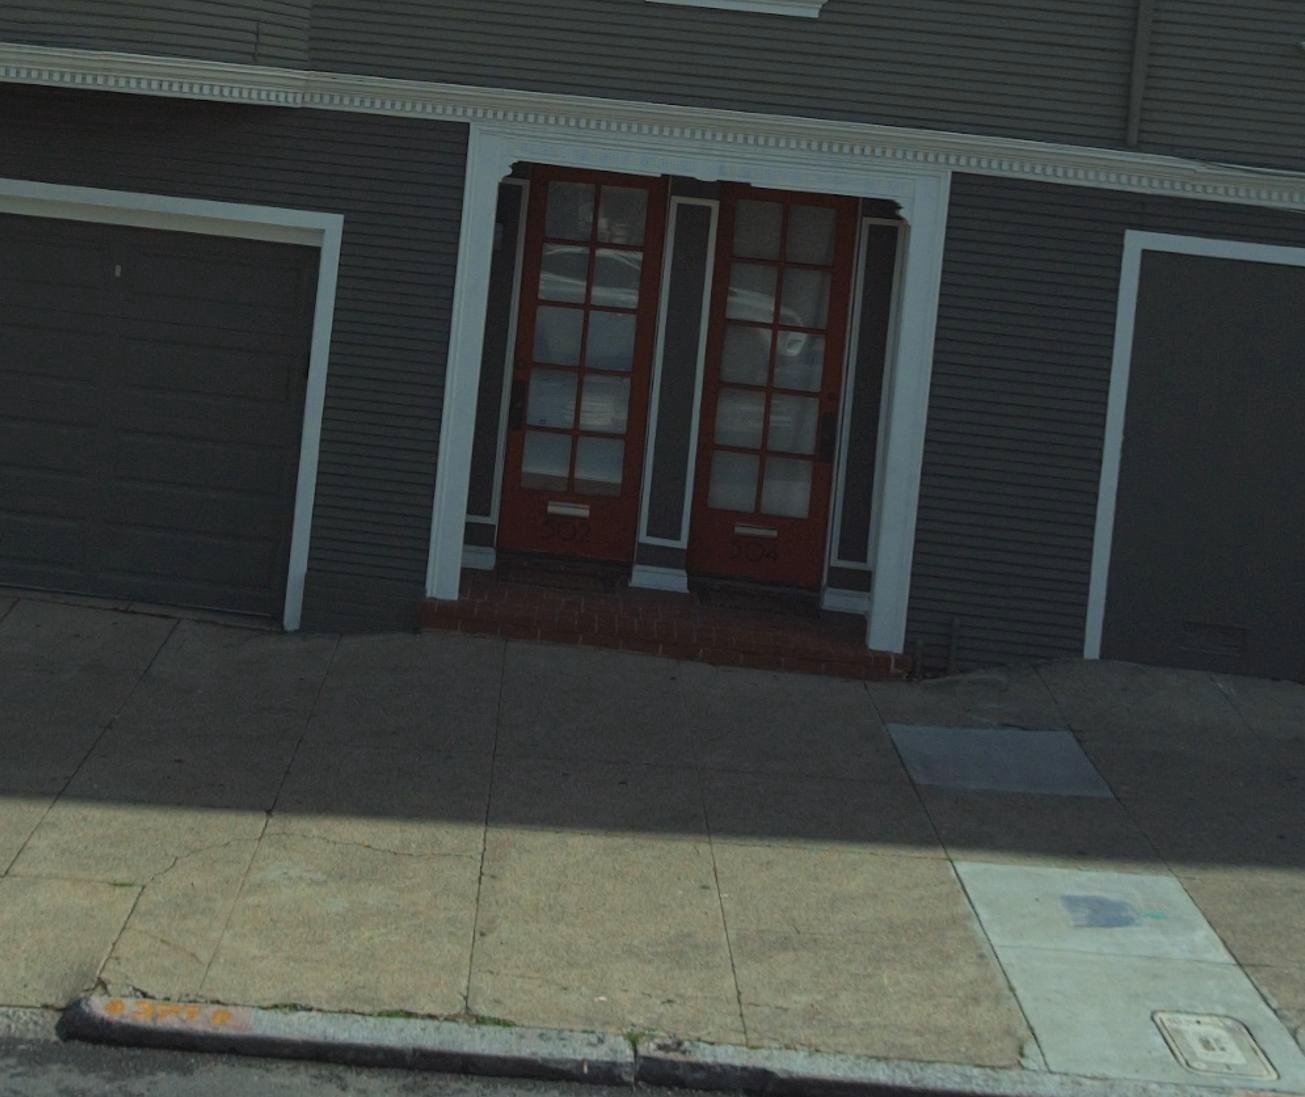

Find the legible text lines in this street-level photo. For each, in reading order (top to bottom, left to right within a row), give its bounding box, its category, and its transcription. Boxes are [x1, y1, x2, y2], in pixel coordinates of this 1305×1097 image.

[535, 513, 595, 547] StreetNumber: 502
[723, 534, 780, 567] StreetNumber: 504